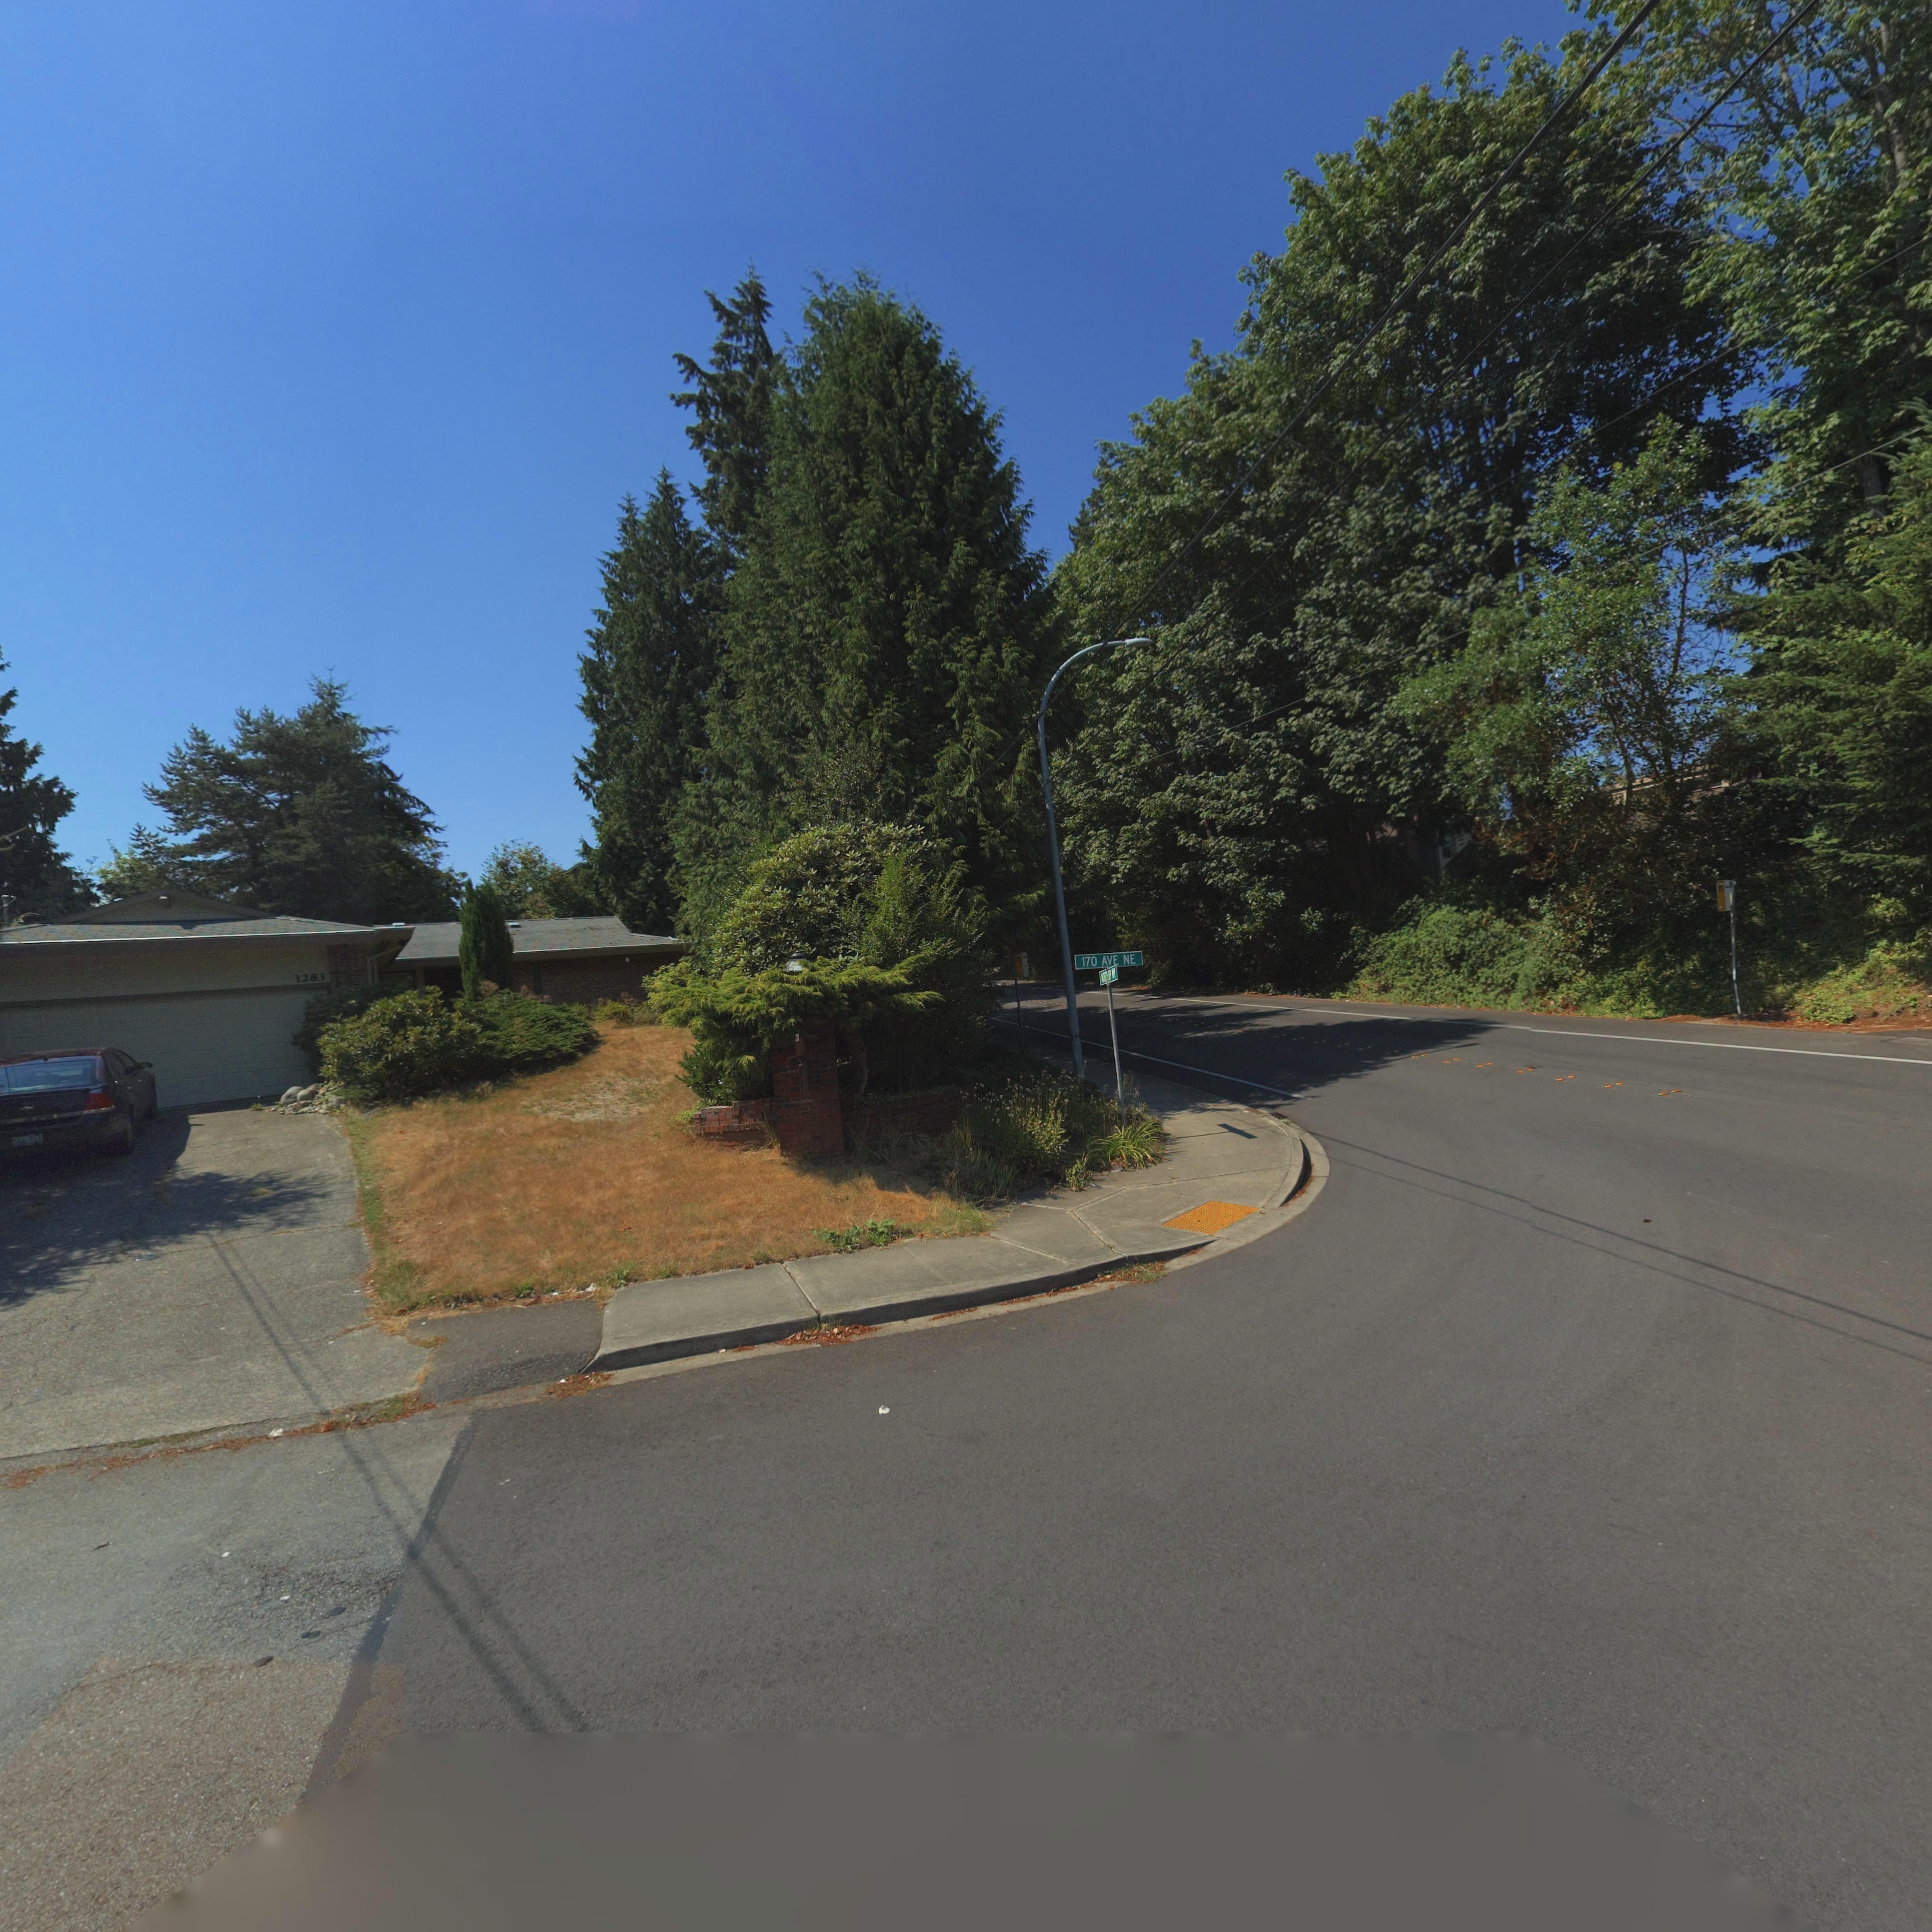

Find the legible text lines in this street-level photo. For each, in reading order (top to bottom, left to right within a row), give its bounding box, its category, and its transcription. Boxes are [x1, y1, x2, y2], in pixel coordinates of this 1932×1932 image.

[1082, 954, 1136, 967] StreetName: 170 AVE NE
[295, 973, 324, 983] StreetNumber: 1283